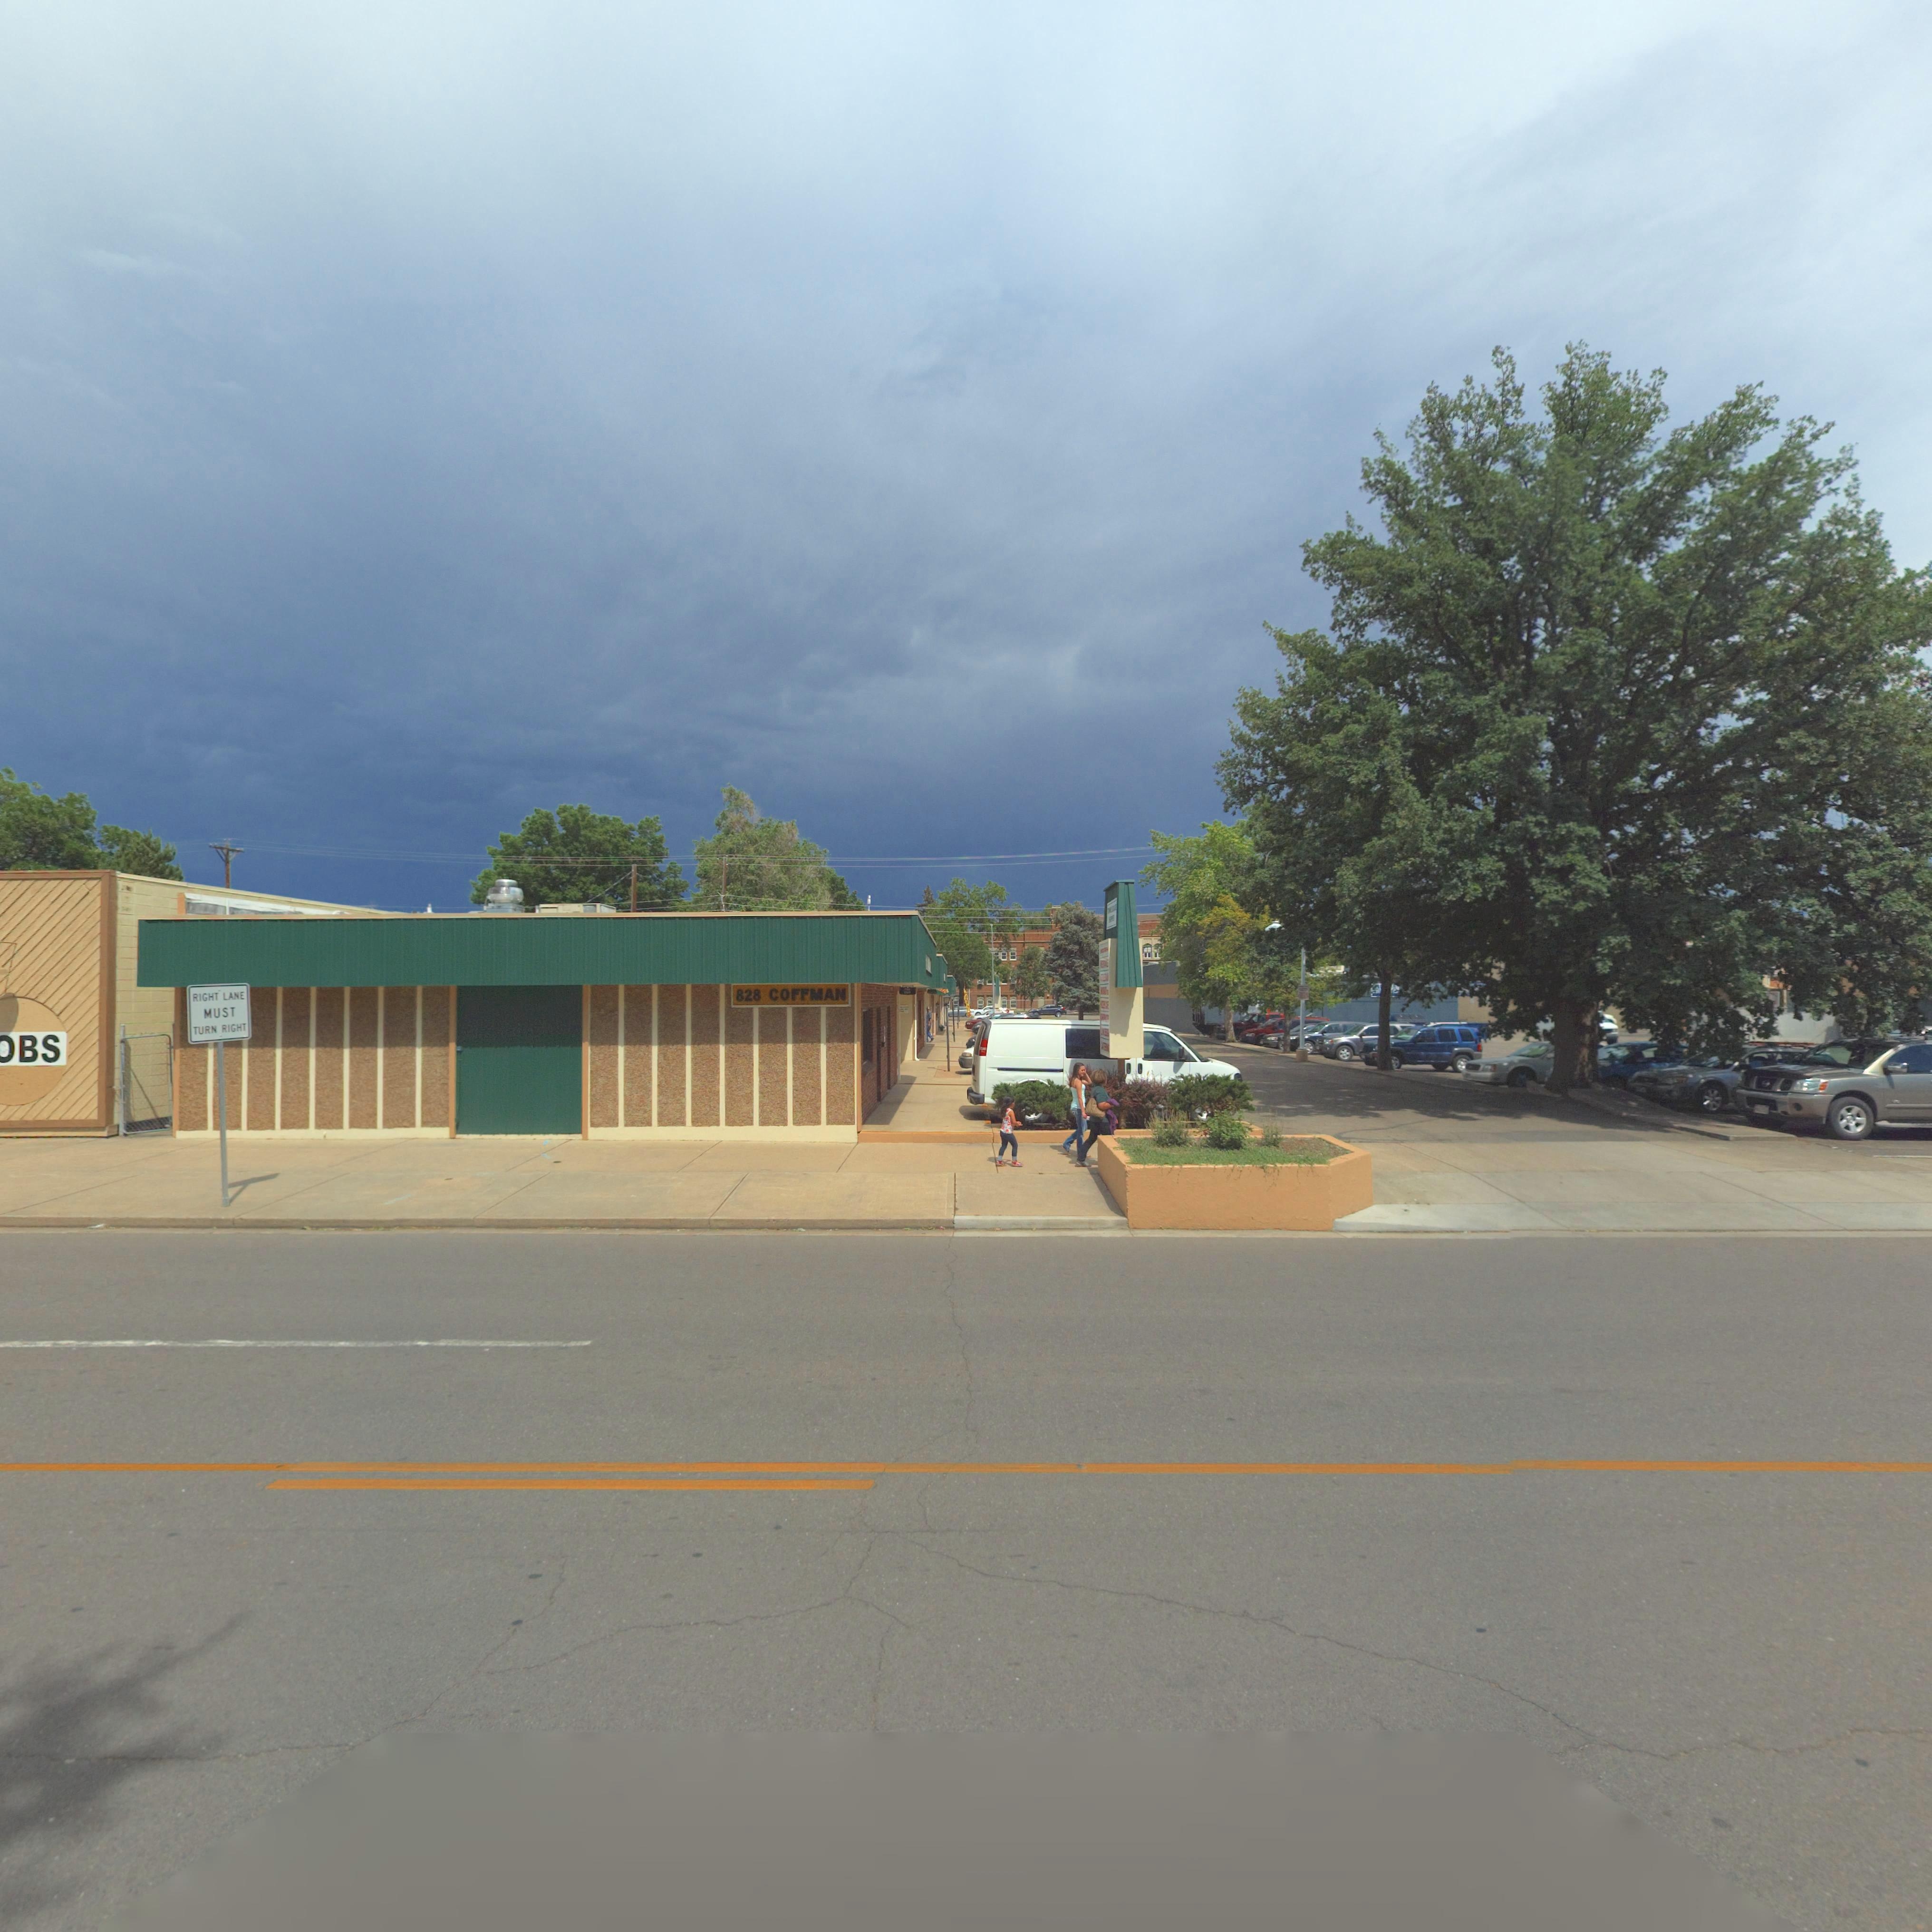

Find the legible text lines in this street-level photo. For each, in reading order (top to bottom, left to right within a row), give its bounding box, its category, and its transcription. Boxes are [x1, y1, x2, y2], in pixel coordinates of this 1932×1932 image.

[736, 989, 762, 1001] StreetNumber: 828
[768, 987, 846, 1001] StreetName: COFFMAN